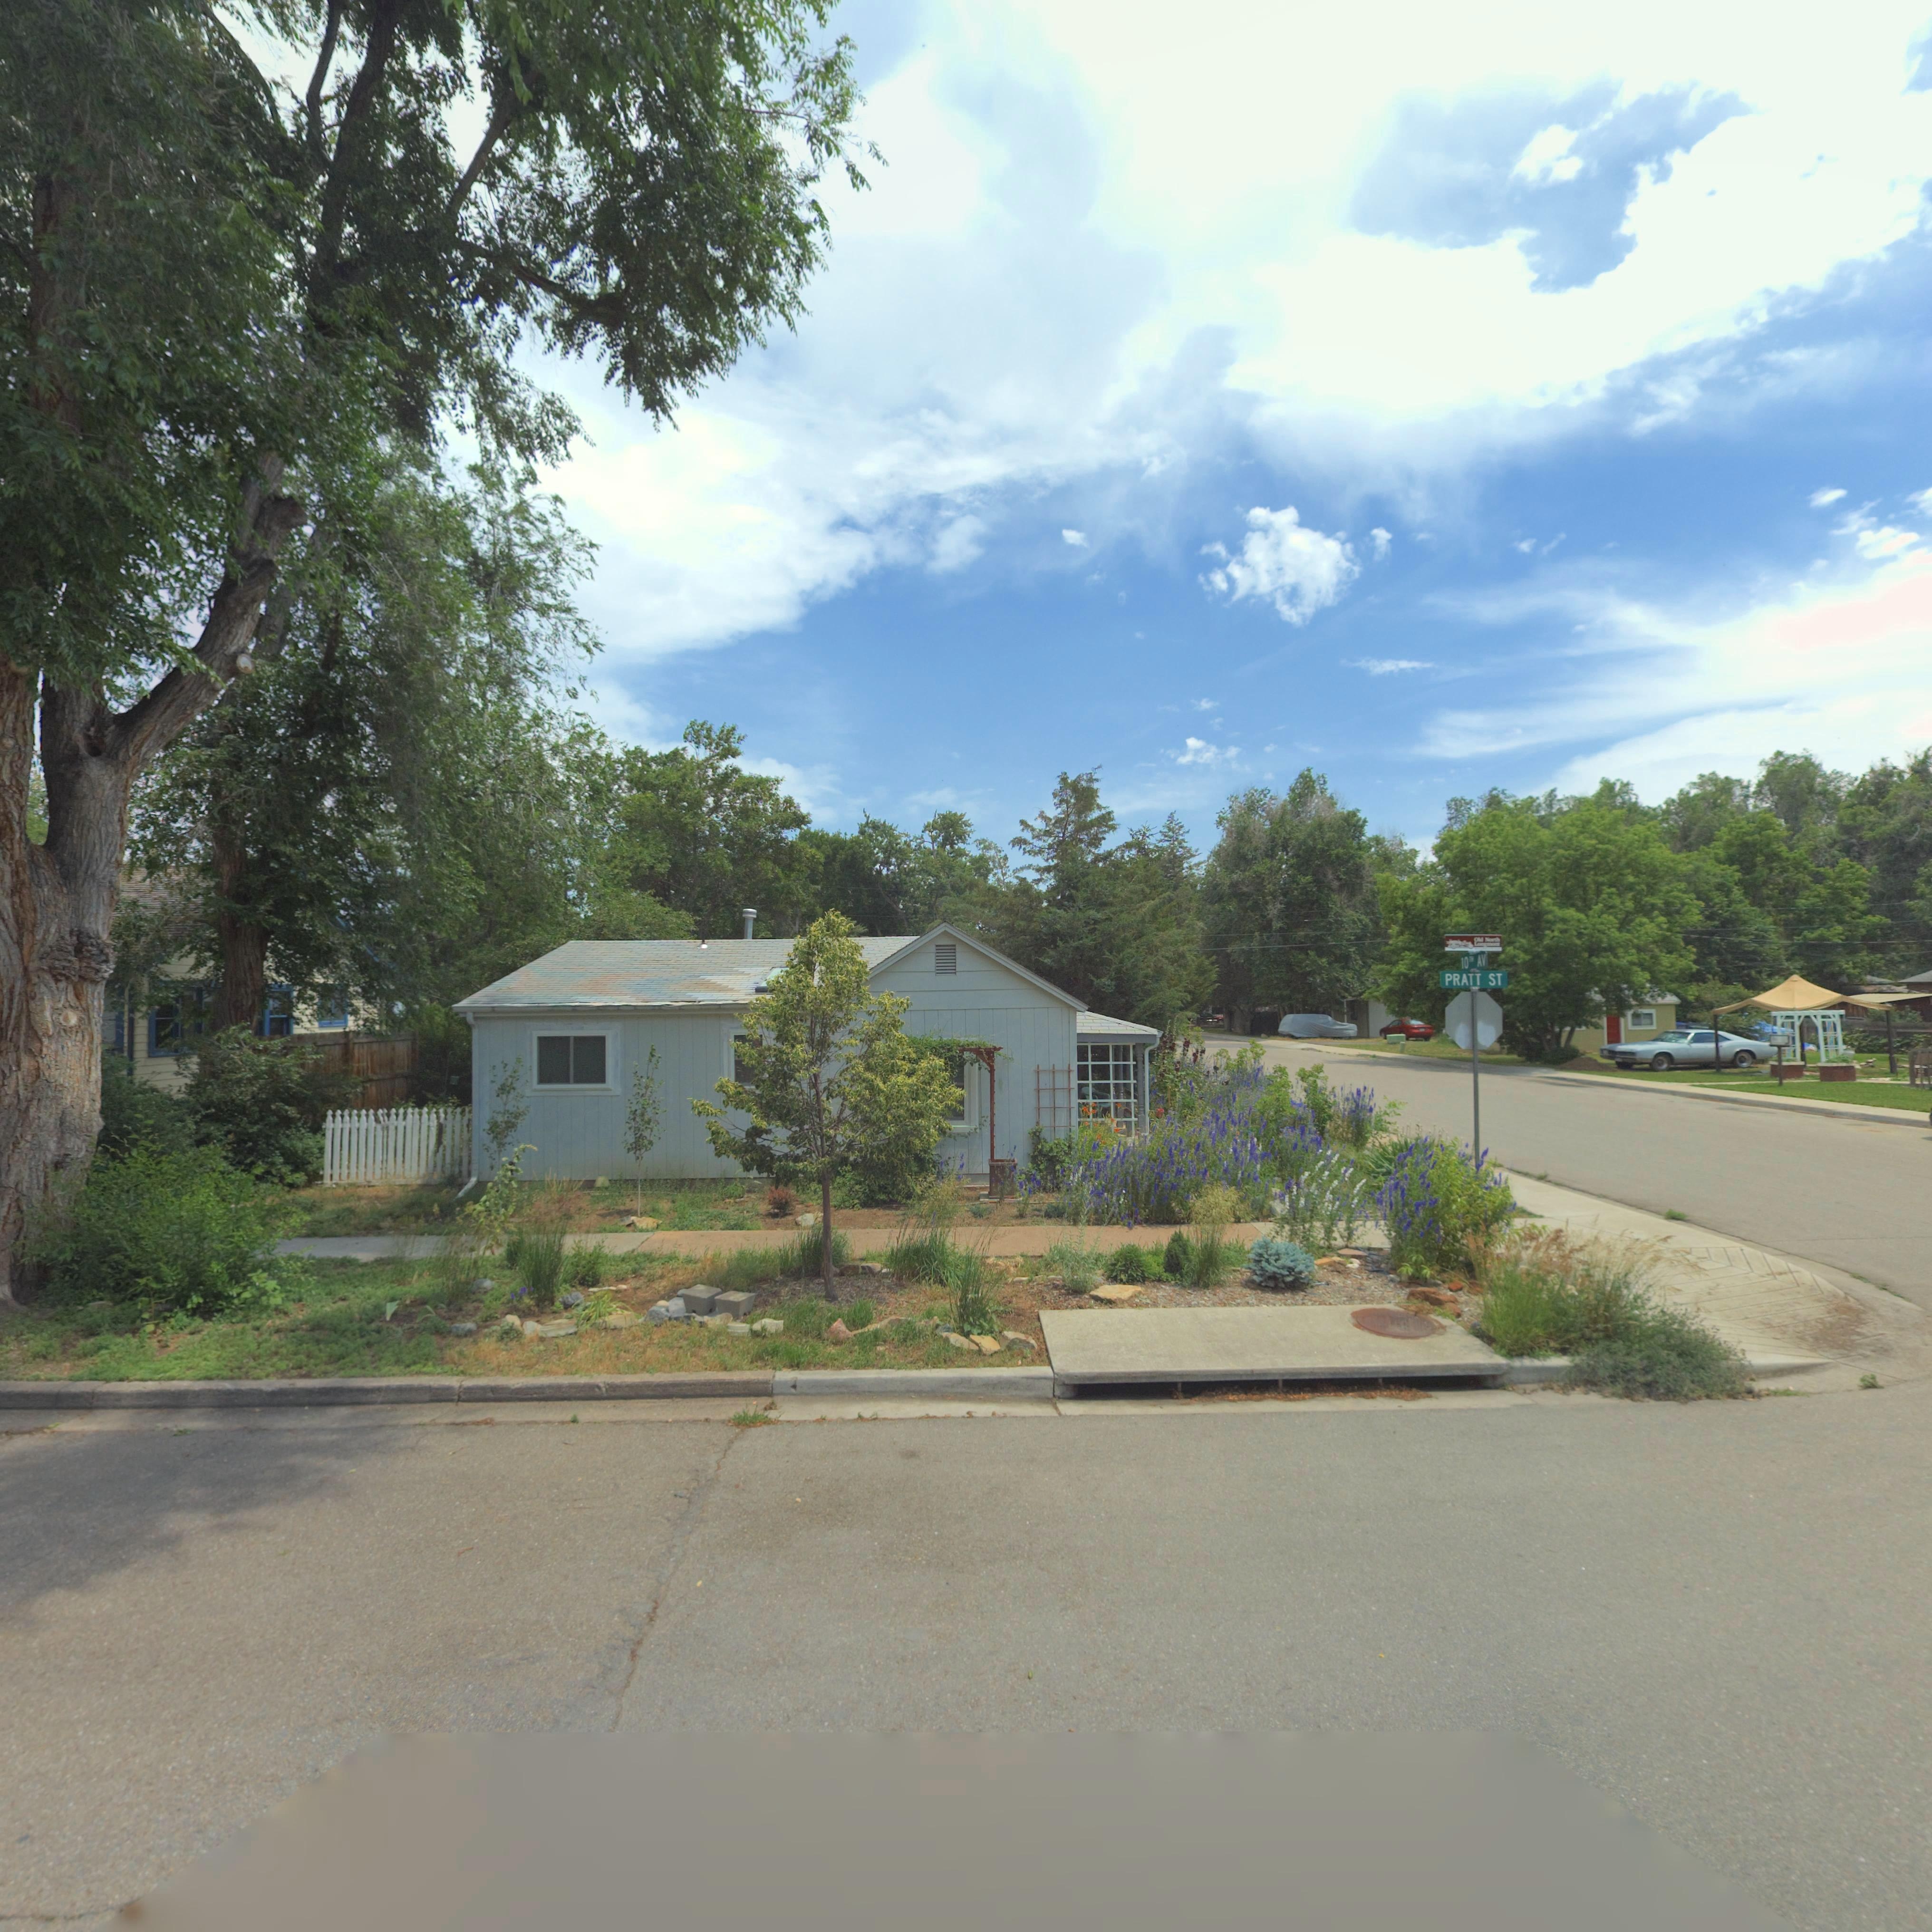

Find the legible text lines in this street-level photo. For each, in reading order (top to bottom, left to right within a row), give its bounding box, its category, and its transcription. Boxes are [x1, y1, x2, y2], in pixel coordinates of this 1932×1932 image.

[1461, 953, 1486, 969] StreetName: 10TH AV
[1445, 973, 1502, 986] StreetName: PRATT ST